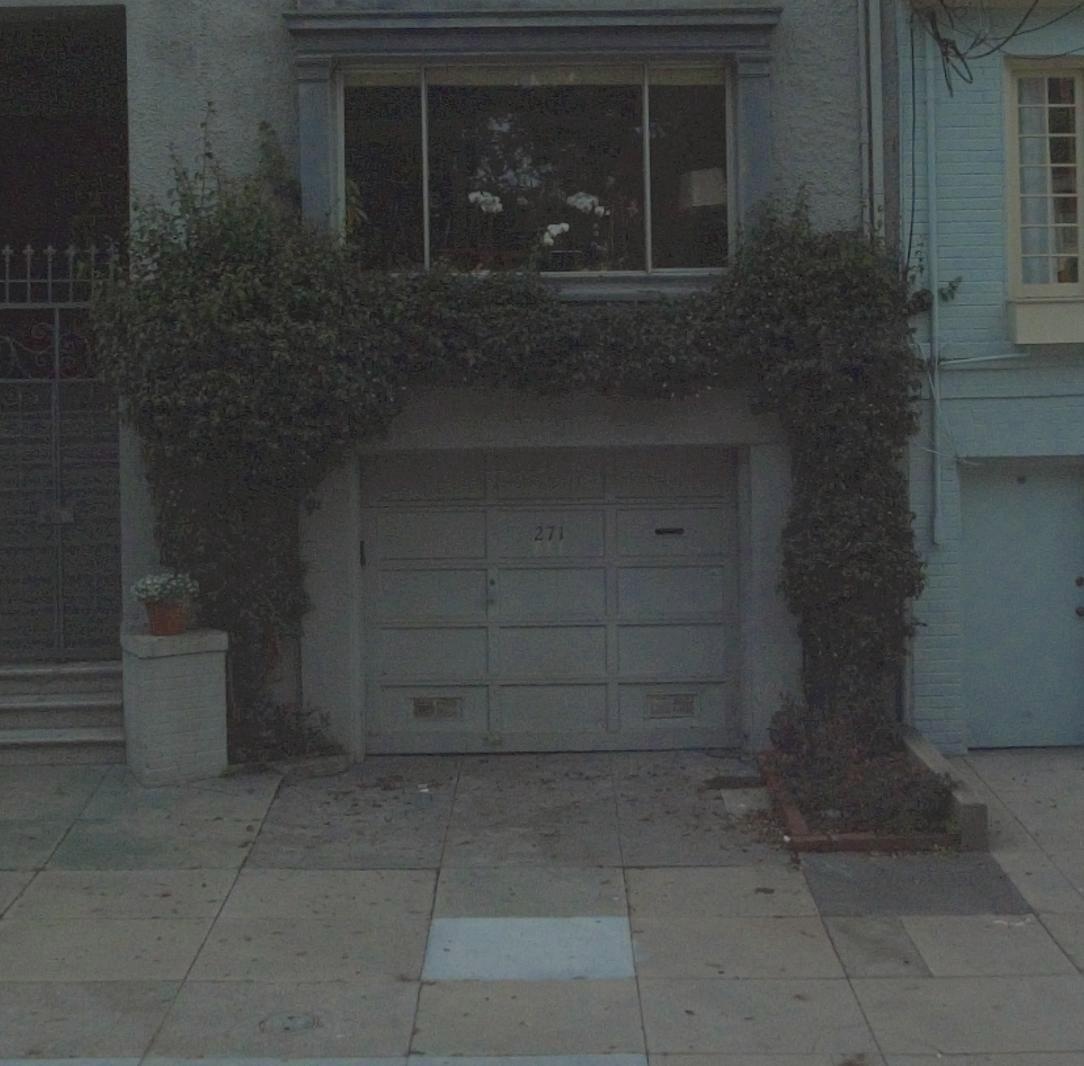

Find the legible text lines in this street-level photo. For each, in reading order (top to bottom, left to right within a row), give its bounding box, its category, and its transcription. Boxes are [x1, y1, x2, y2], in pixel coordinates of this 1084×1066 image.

[533, 524, 565, 543] StreetNumber: 271